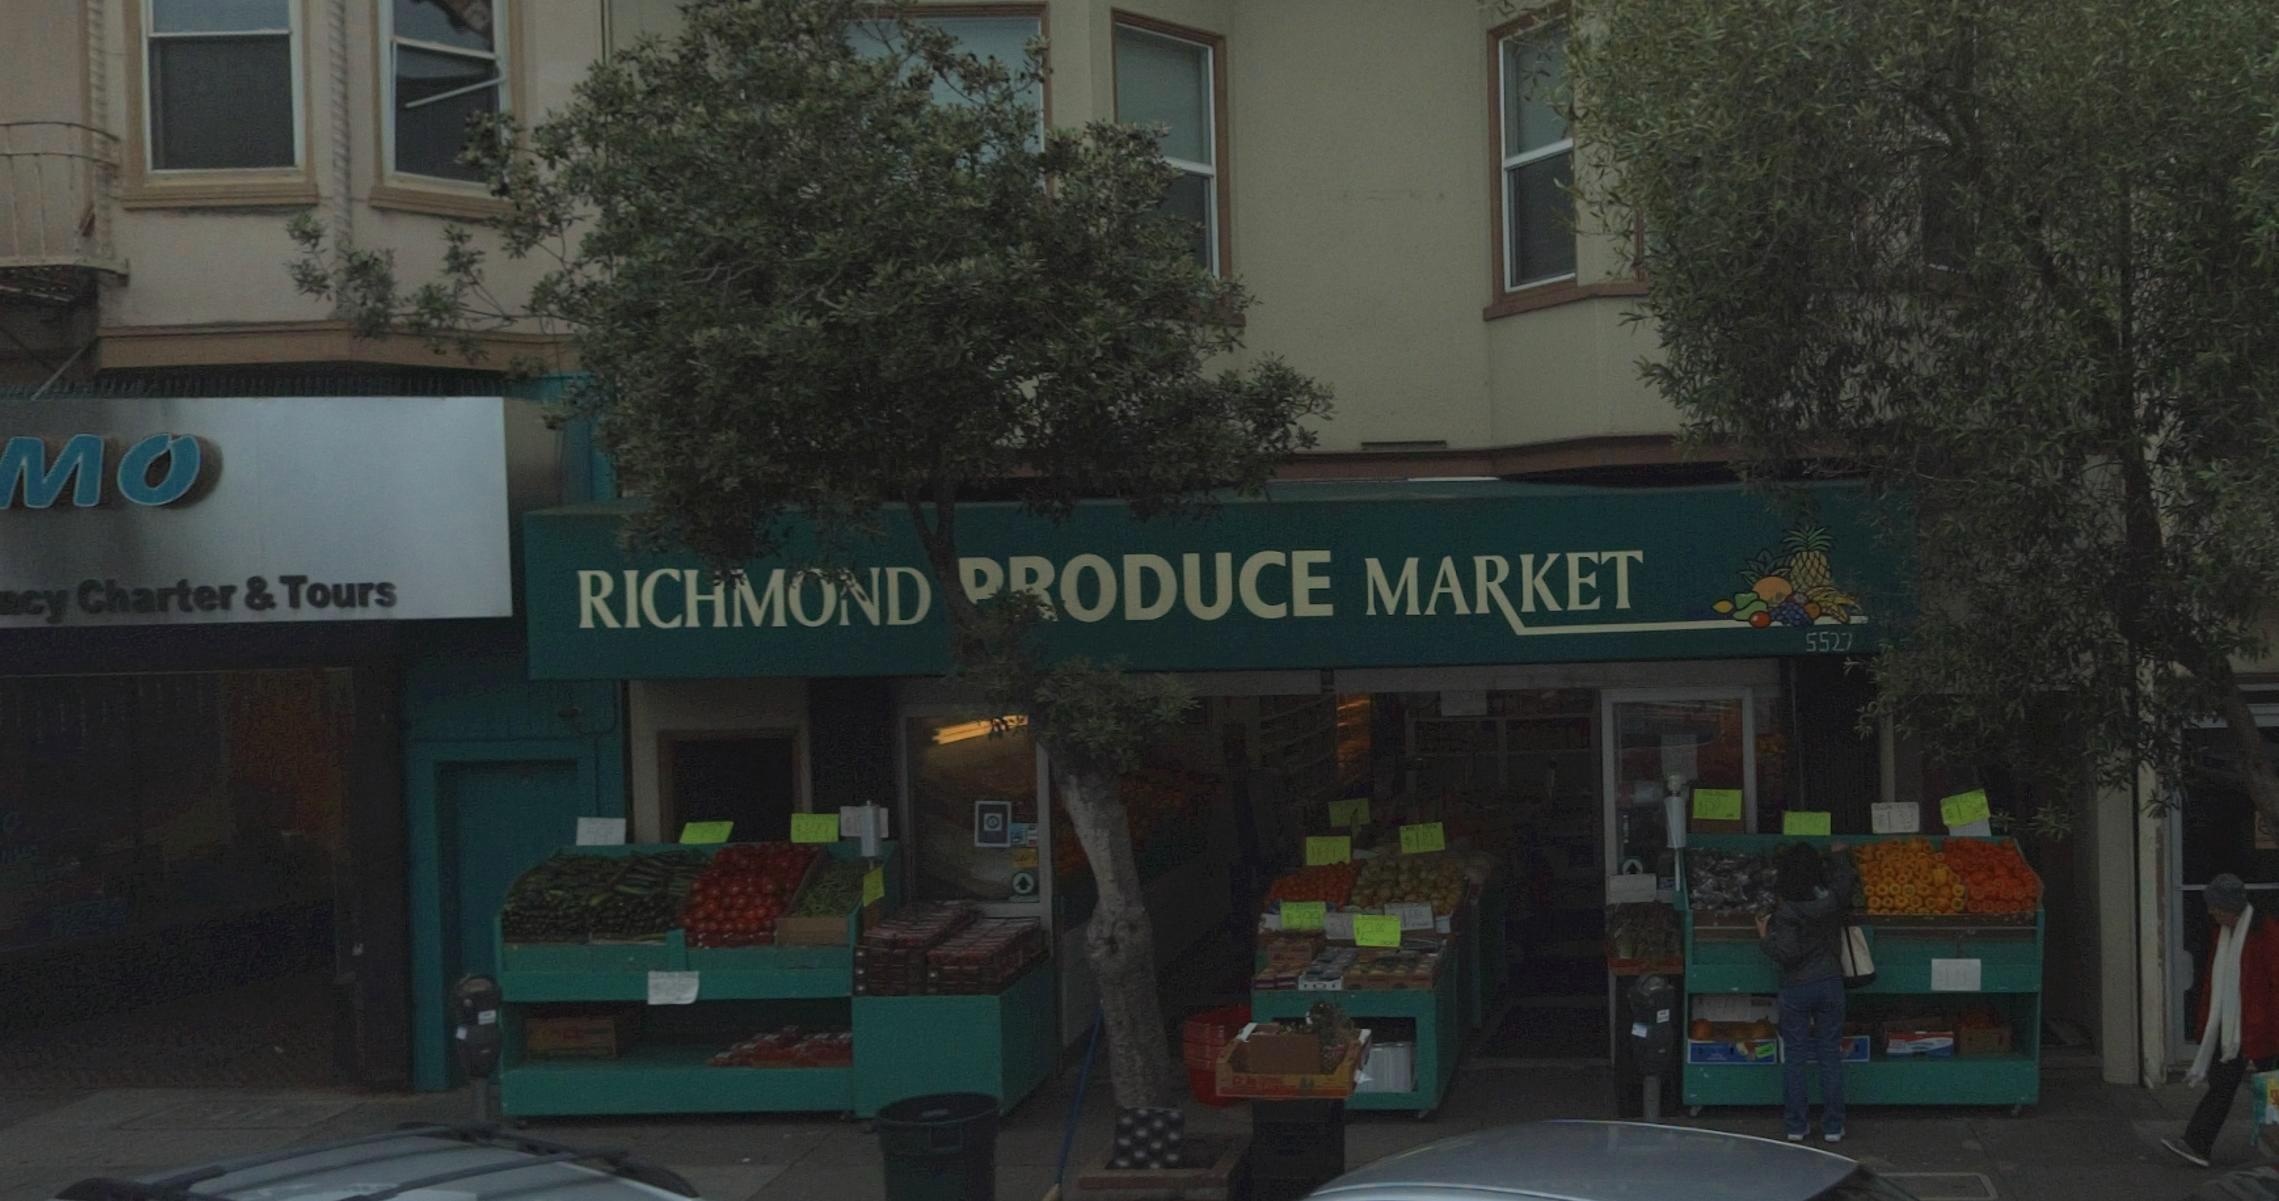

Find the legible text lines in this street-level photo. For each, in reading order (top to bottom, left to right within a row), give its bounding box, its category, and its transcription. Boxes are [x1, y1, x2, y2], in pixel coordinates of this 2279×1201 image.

[111, 428, 206, 509] BusinessName: O
[14, 571, 403, 628] None: cy Charter & Tours
[570, 541, 1651, 636] BusinessName: RIC*MO*D **ODUCE MARKET
[1803, 629, 1856, 656] StreetNumber: 5527
[1885, 808, 1894, 832] None: 1
[1952, 801, 1966, 824] None: 1
[1413, 828, 1421, 851] None: 1
[1292, 906, 1323, 929] None: 399
[1333, 915, 1348, 941] None: 3
[1358, 918, 1377, 944] None: 2